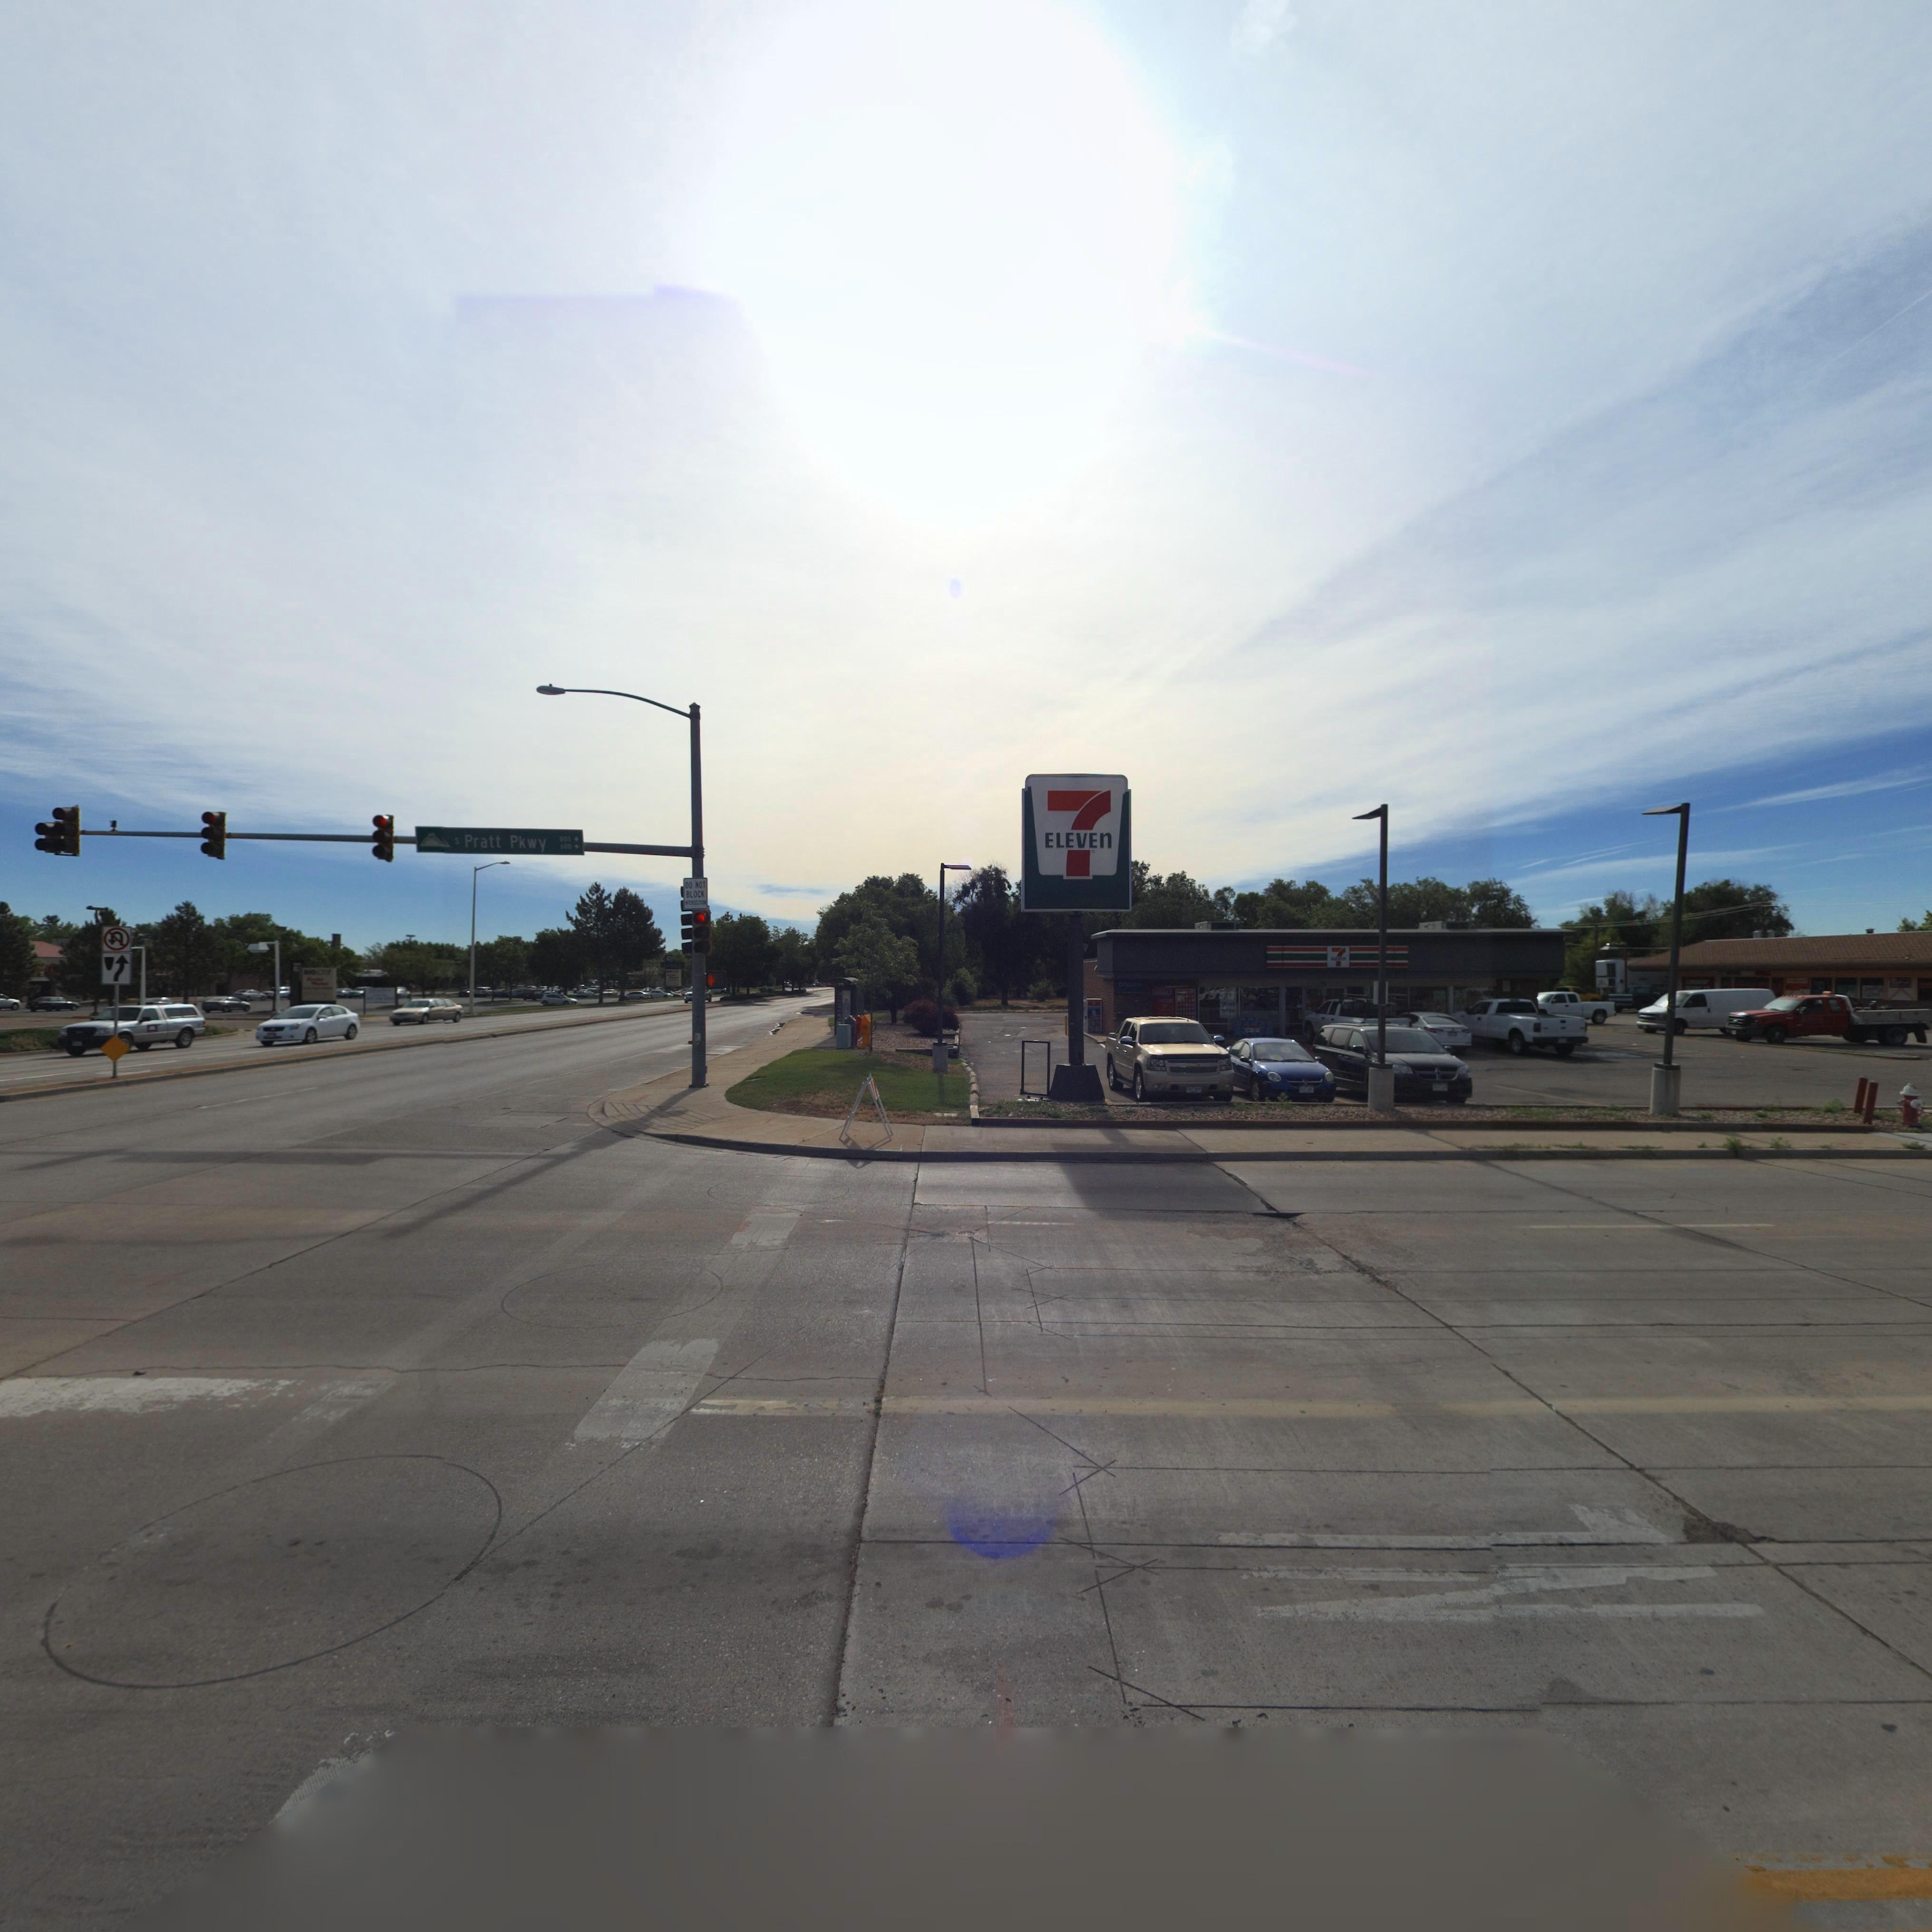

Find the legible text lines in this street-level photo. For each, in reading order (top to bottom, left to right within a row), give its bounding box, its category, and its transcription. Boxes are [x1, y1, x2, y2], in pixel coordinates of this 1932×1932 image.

[454, 834, 547, 853] StreetName: S Pratt Pkwy
[559, 836, 571, 842] StreetNumberRange: 800
[559, 843, 579, 850] StreetNumberRange: 600->
[1045, 831, 1112, 849] BusinessName: ELEVEN
[1046, 789, 1111, 877] BusinessName: 7
[1331, 947, 1345, 966] BusinessName: 7